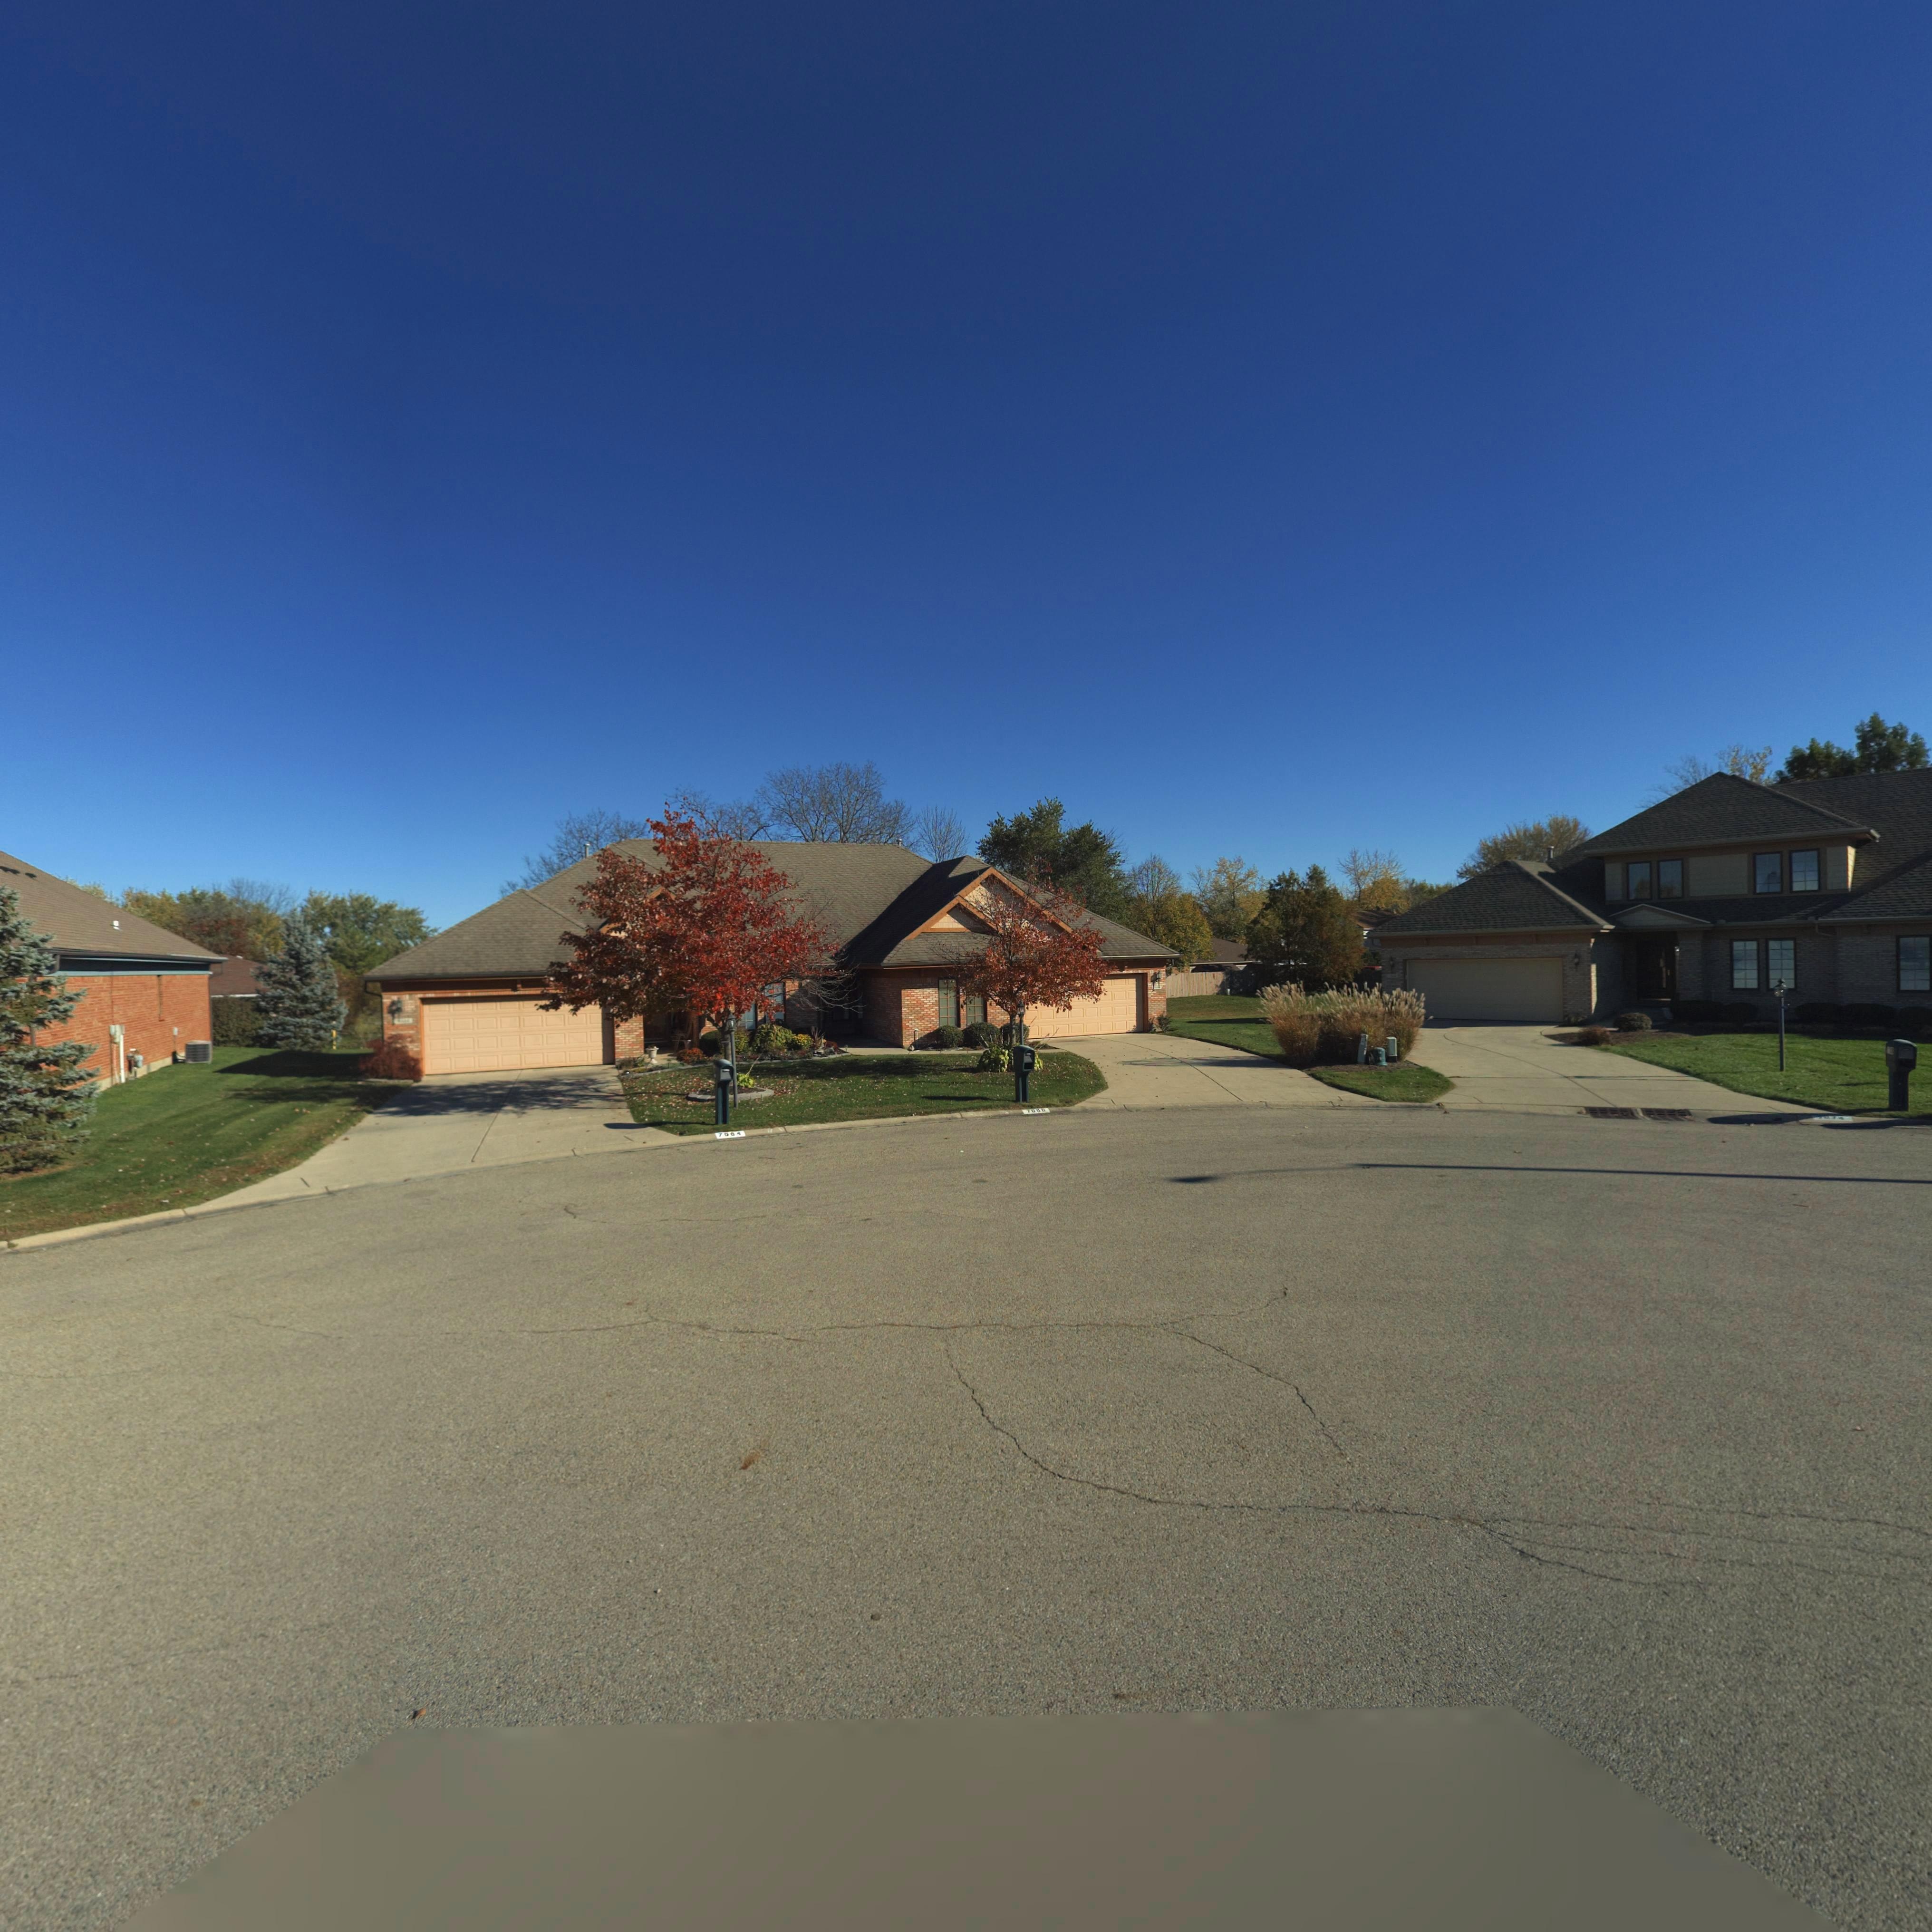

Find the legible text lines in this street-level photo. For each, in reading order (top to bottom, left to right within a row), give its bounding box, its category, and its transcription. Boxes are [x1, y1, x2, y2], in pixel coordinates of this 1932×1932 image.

[1025, 1108, 1046, 1113] StreetNumber: 7080
[1815, 1115, 1845, 1121] StreetNumber: 7074
[717, 1131, 742, 1138] StreetNumber: 7084